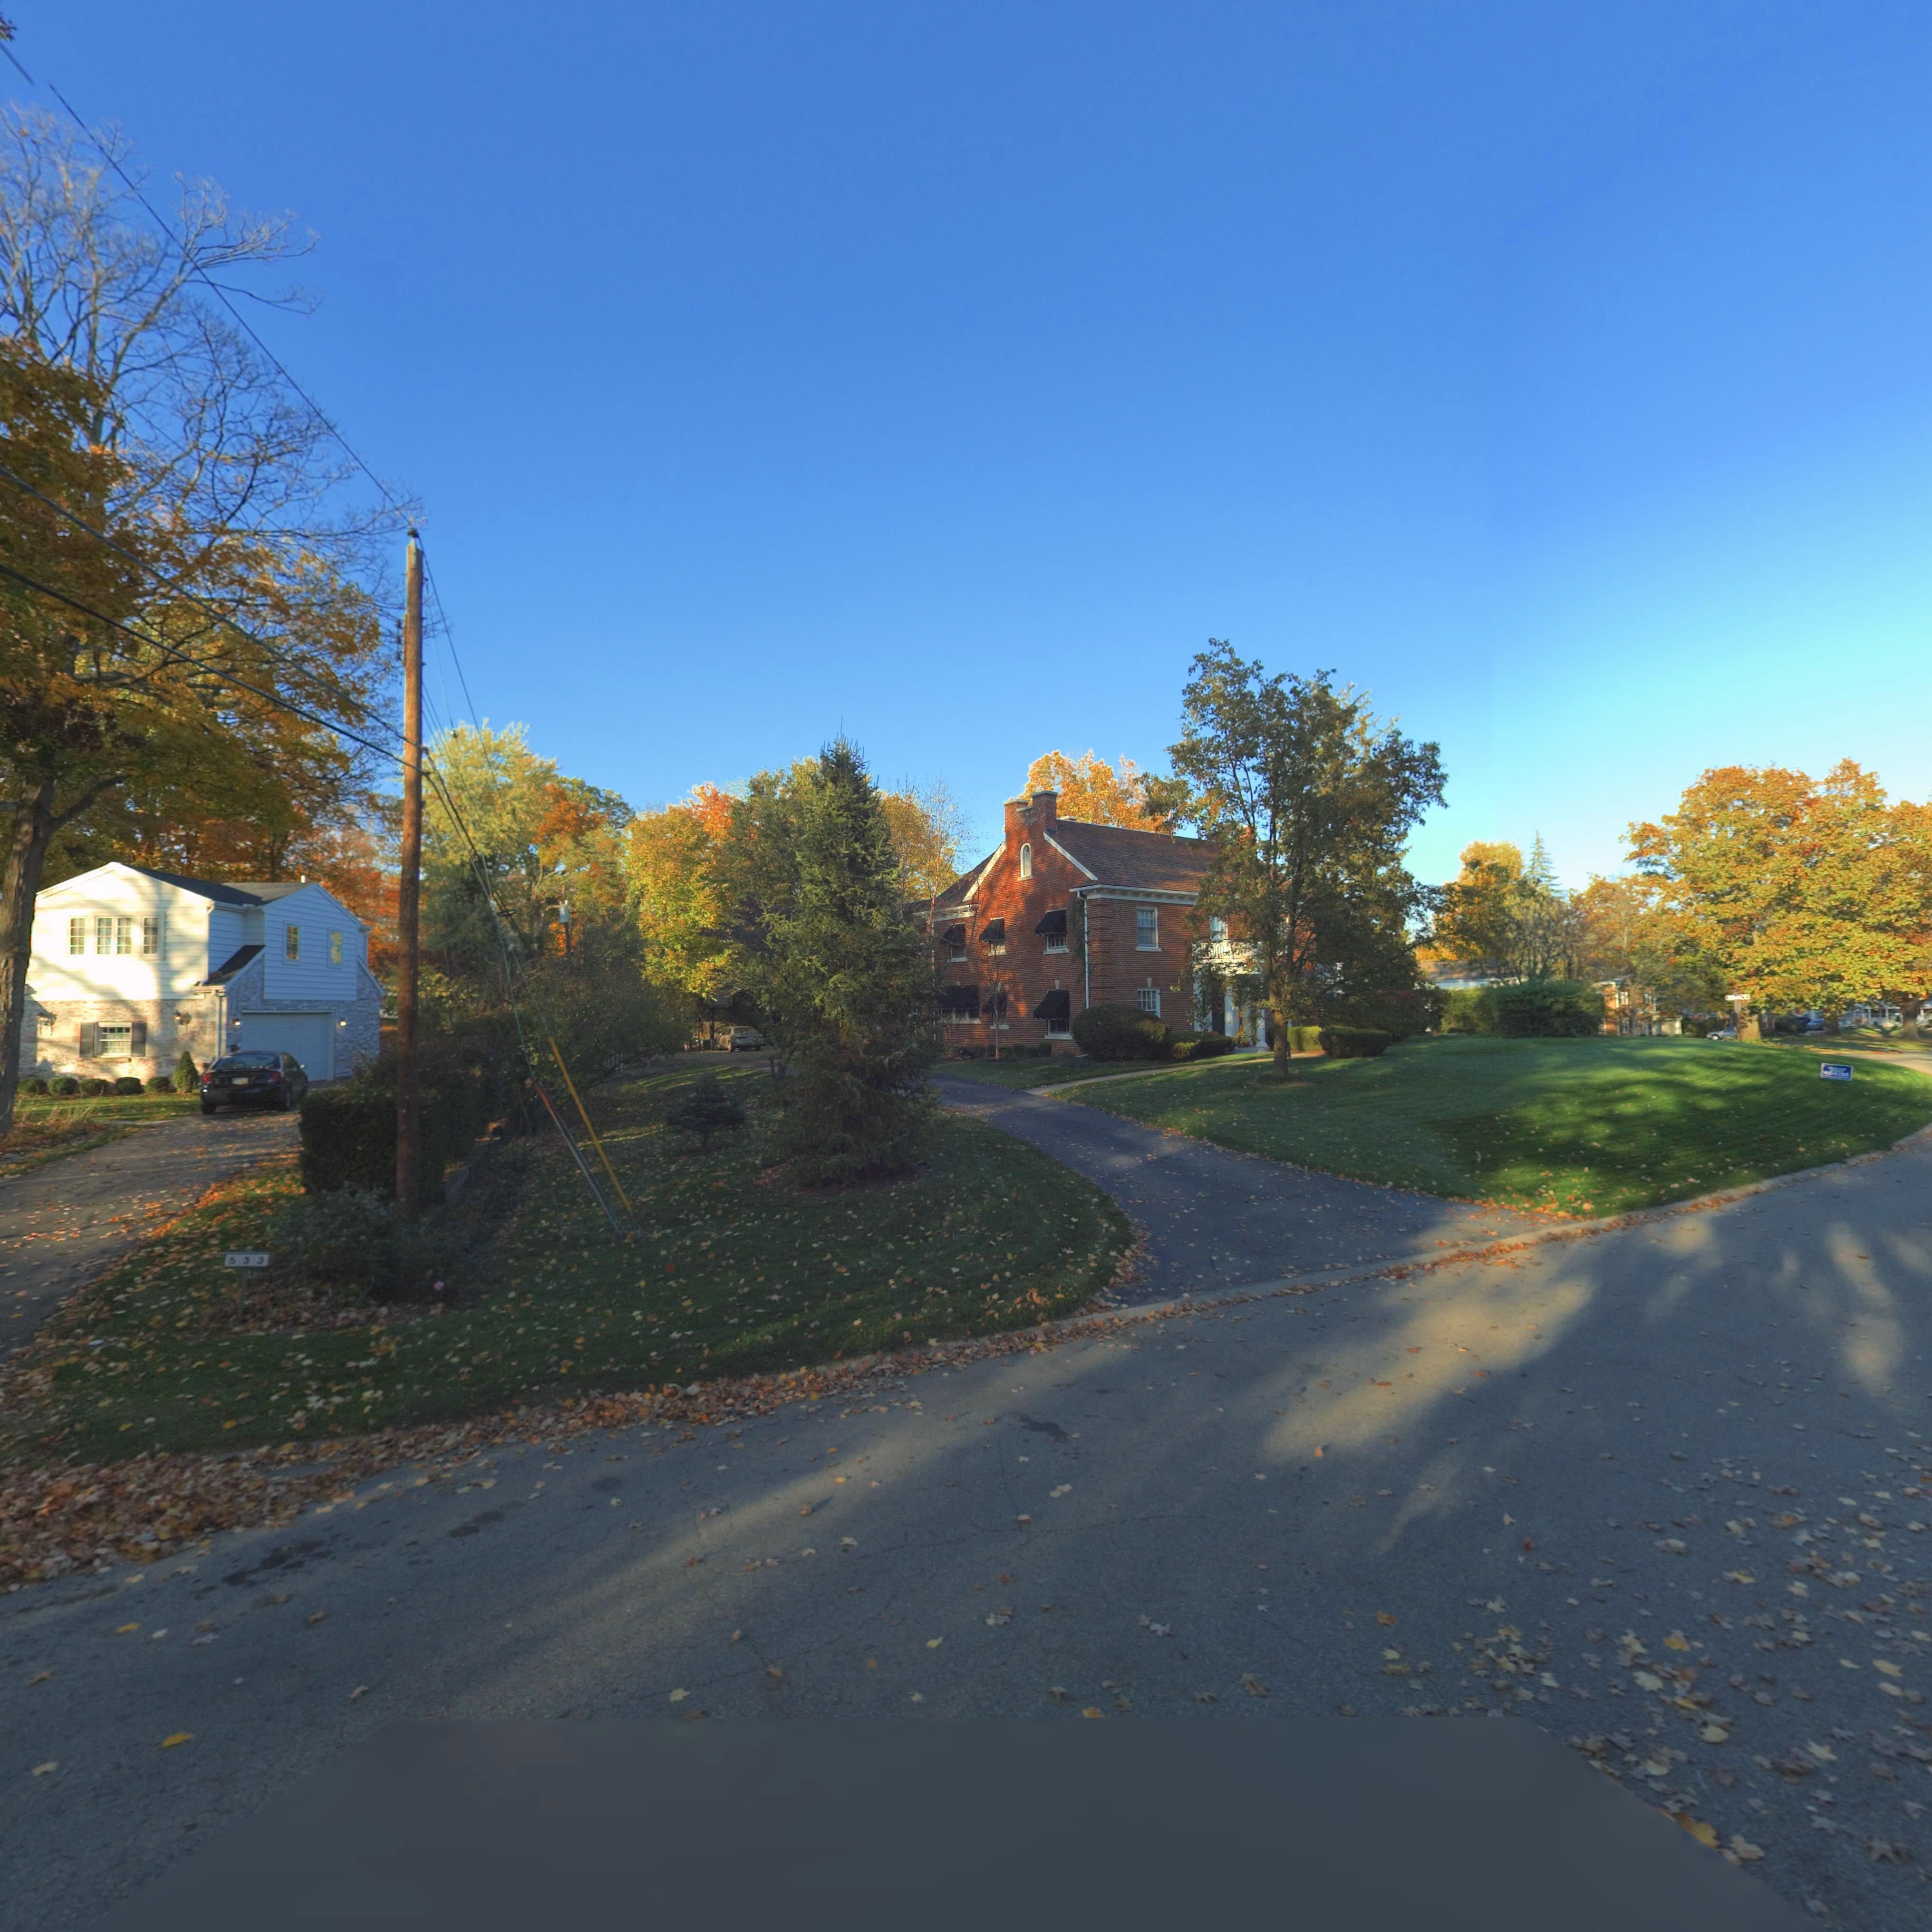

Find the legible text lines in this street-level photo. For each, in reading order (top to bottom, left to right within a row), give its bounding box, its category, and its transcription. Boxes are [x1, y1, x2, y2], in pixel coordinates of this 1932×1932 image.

[228, 1255, 265, 1265] StreetNumber: 533